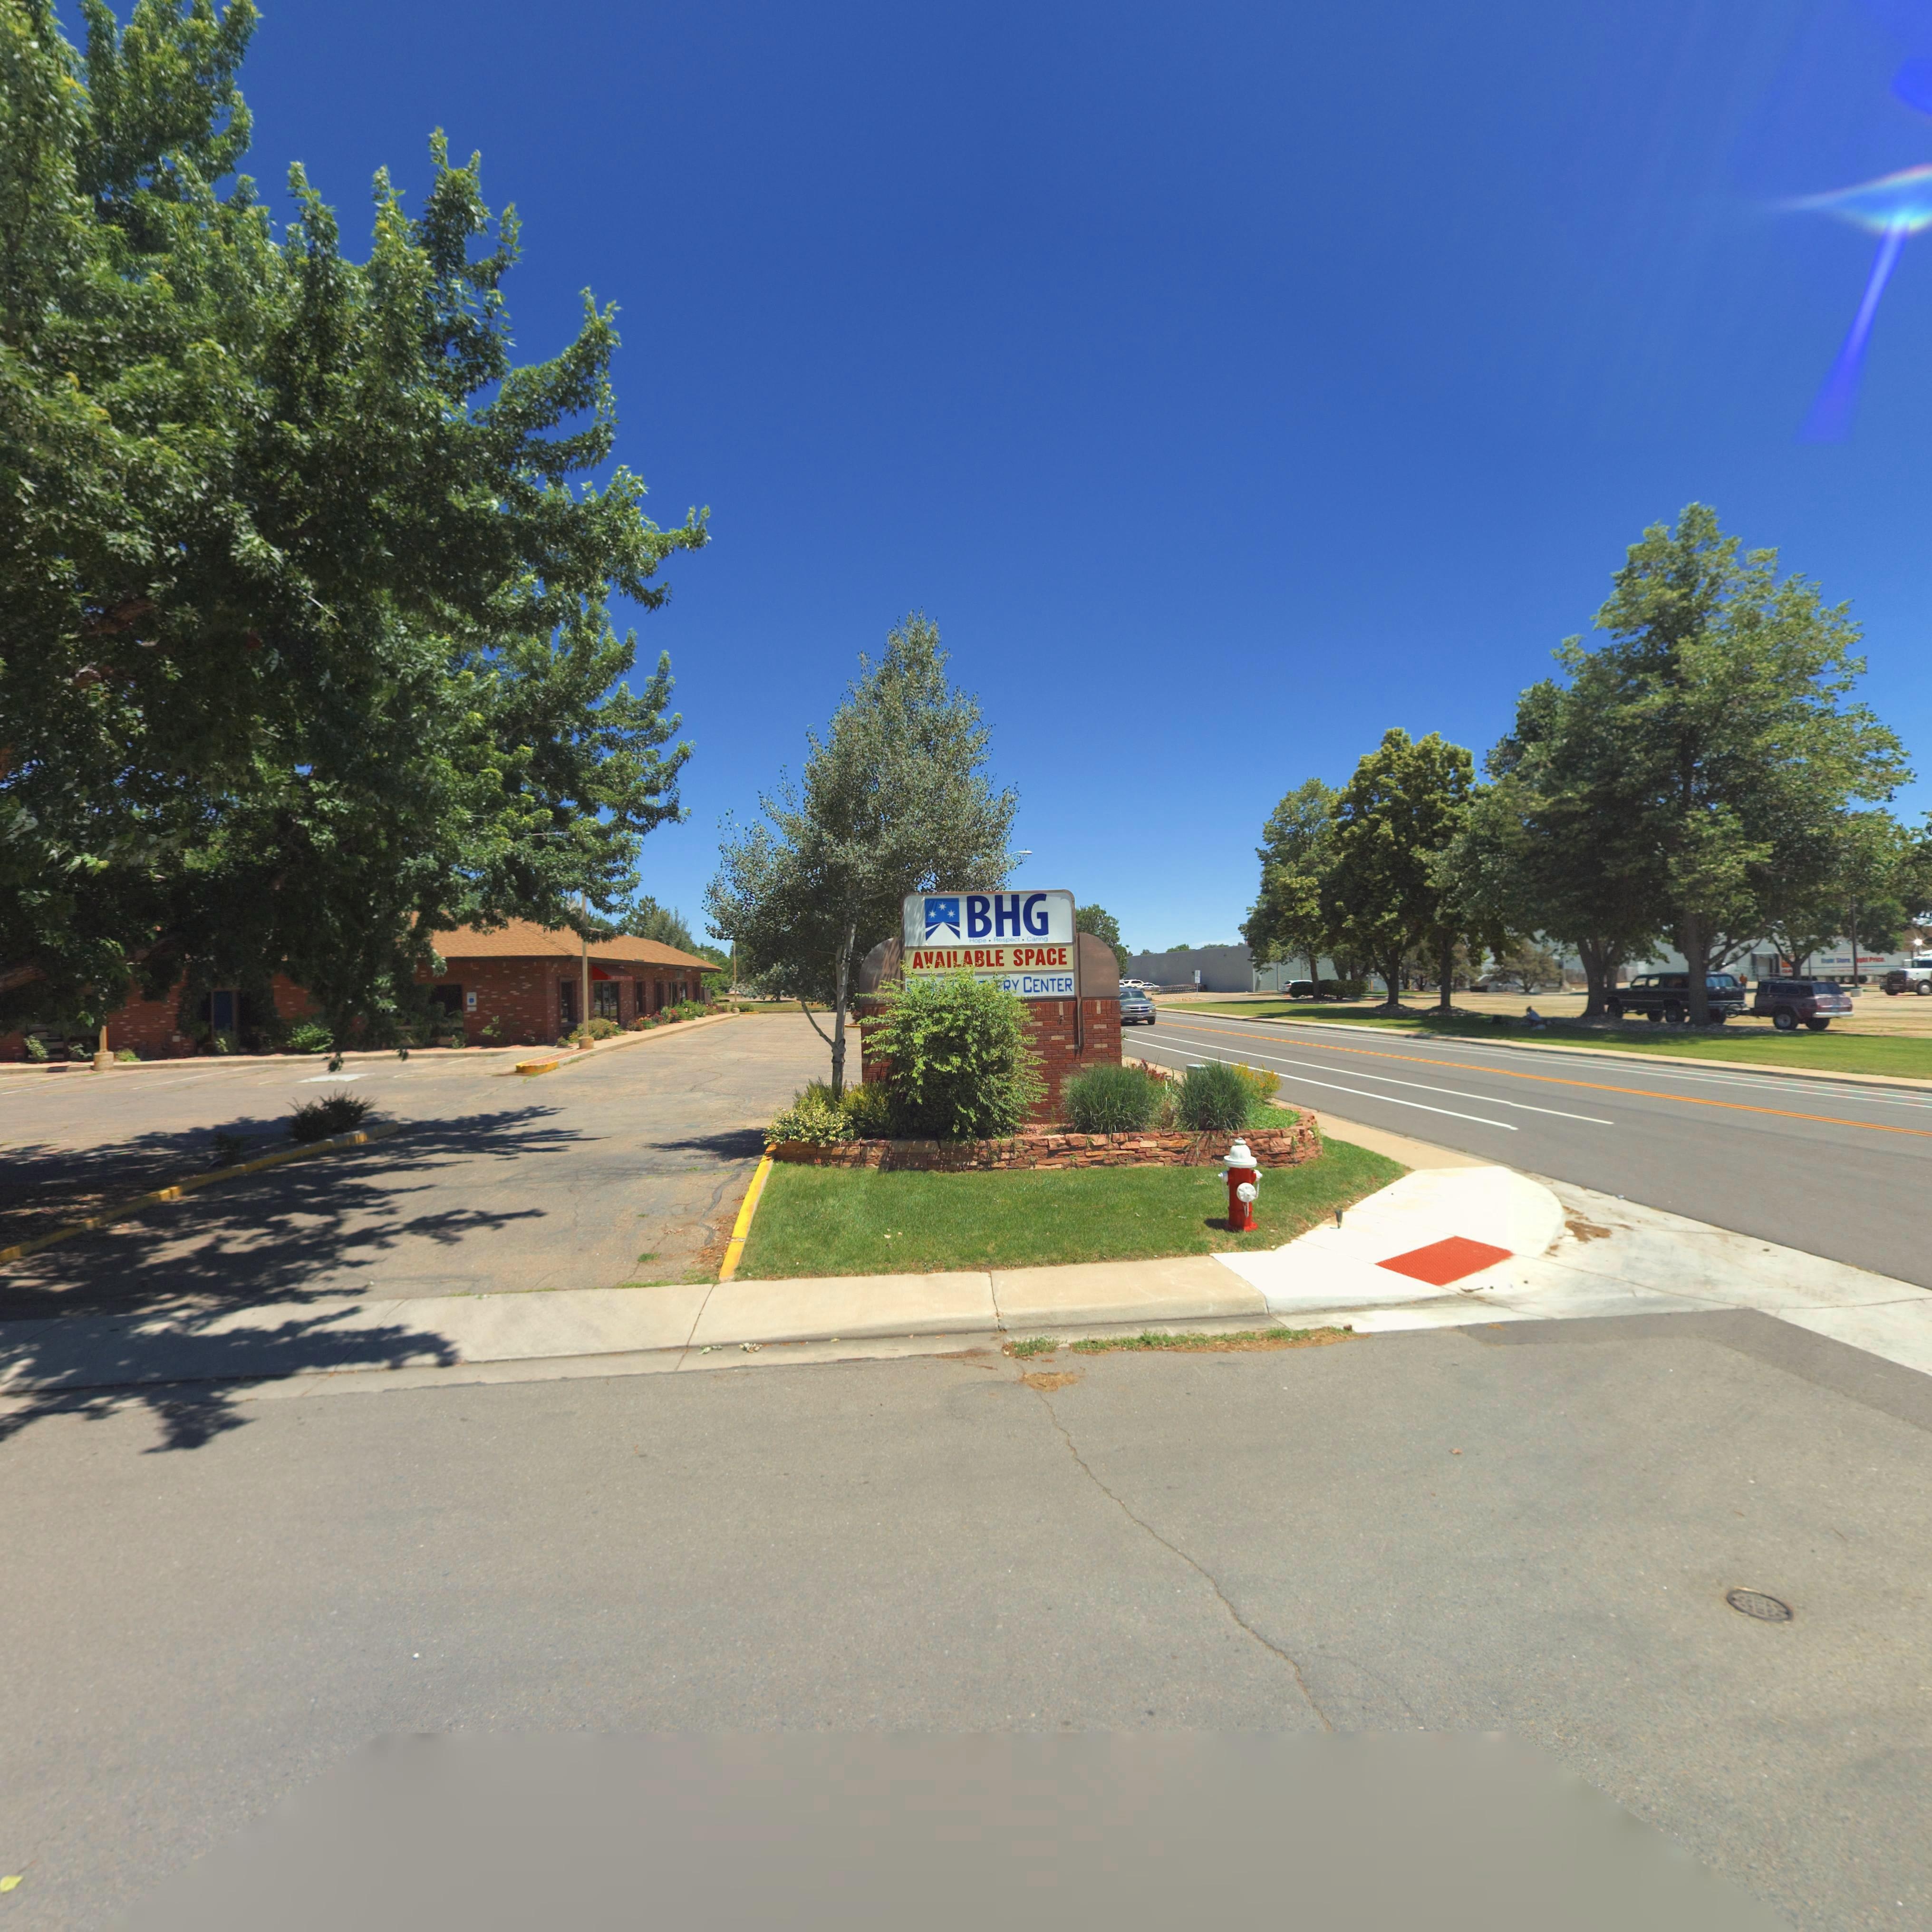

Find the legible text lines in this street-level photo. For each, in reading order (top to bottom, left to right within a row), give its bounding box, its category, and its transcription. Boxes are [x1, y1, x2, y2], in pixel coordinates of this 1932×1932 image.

[966, 892, 1049, 938] BusinessName: BHG
[1003, 976, 1073, 994] BusinessName: RY CENTER